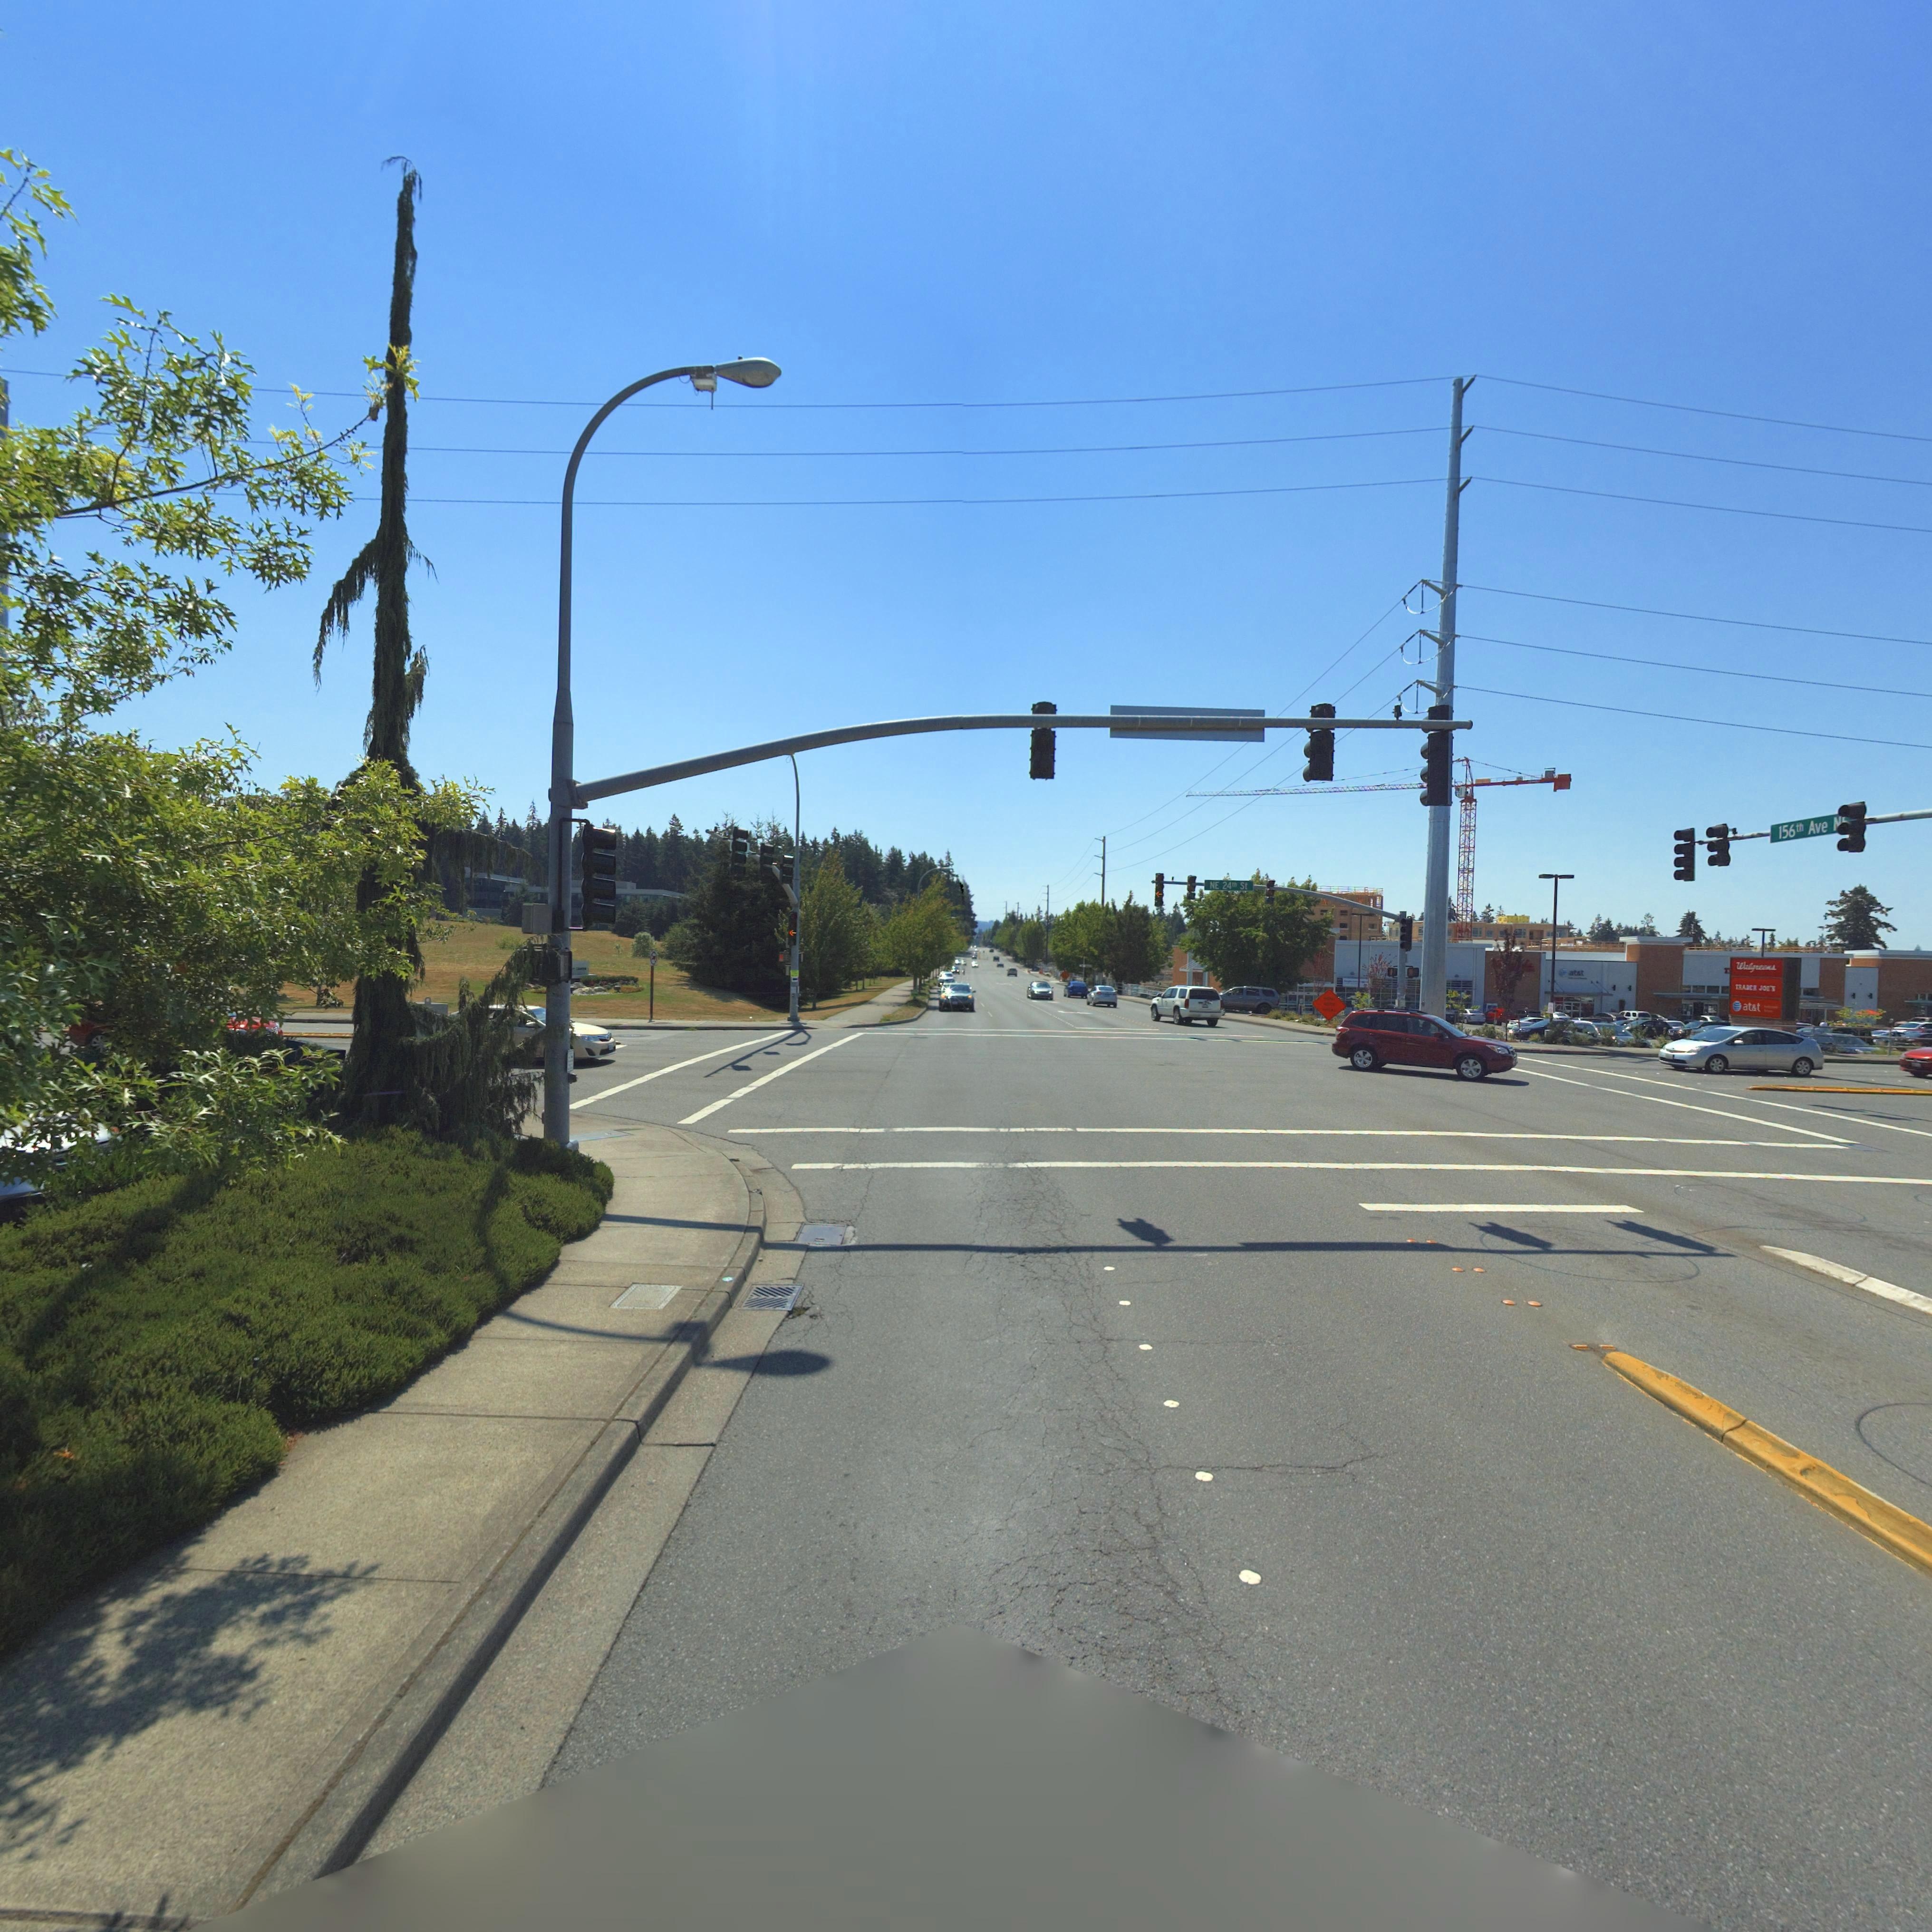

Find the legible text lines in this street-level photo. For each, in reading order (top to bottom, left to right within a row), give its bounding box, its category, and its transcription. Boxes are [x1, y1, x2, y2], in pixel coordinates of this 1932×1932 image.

[1778, 820, 1828, 839] StreetName: 156th Ave
[1210, 880, 1247, 890] StreetName: NE 24th St
[1736, 961, 1777, 973] BusinessName: Walgreens
[1569, 969, 1584, 976] BusinessName: at*t
[1734, 984, 1776, 992] BusinessName: TRADER JO*'S
[1743, 1002, 1760, 1012] BusinessName: at*t